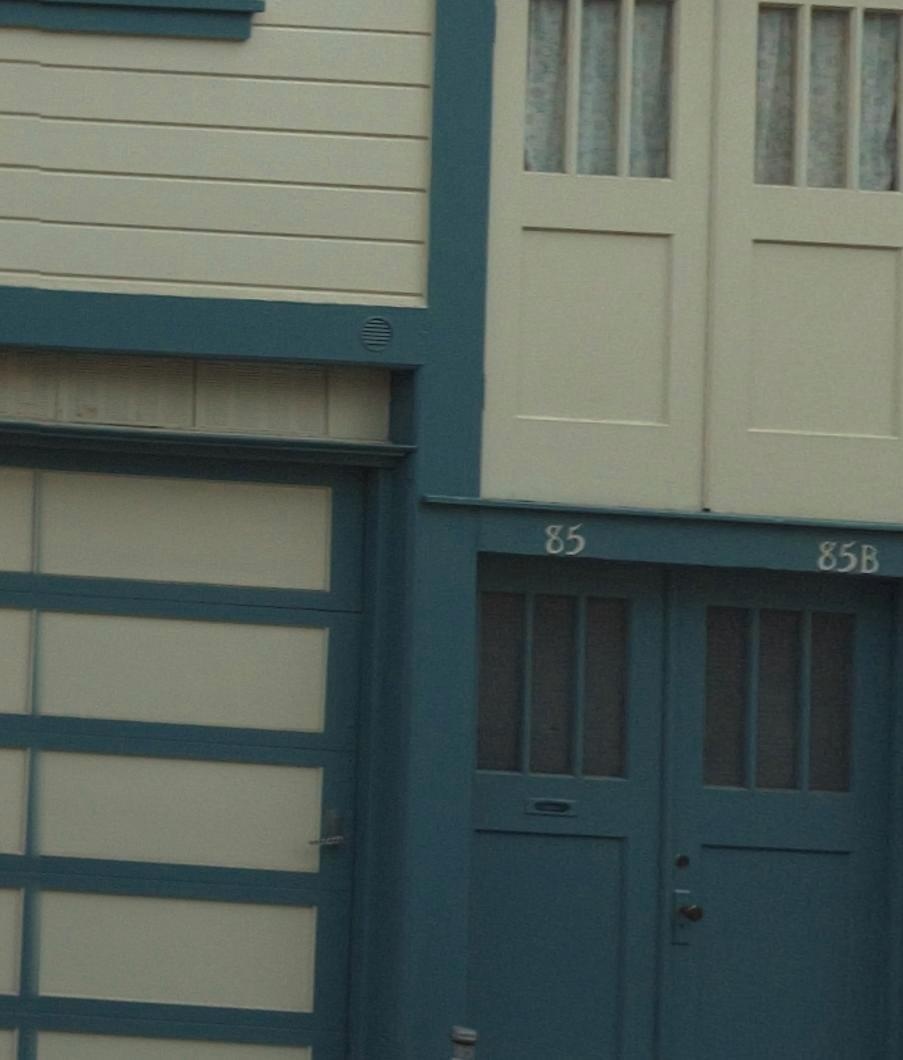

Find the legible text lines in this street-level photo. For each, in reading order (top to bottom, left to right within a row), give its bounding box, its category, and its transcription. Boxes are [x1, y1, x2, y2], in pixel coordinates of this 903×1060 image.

[540, 520, 589, 559] StreetNumber: 85
[814, 535, 882, 578] StreetNumber: 85B